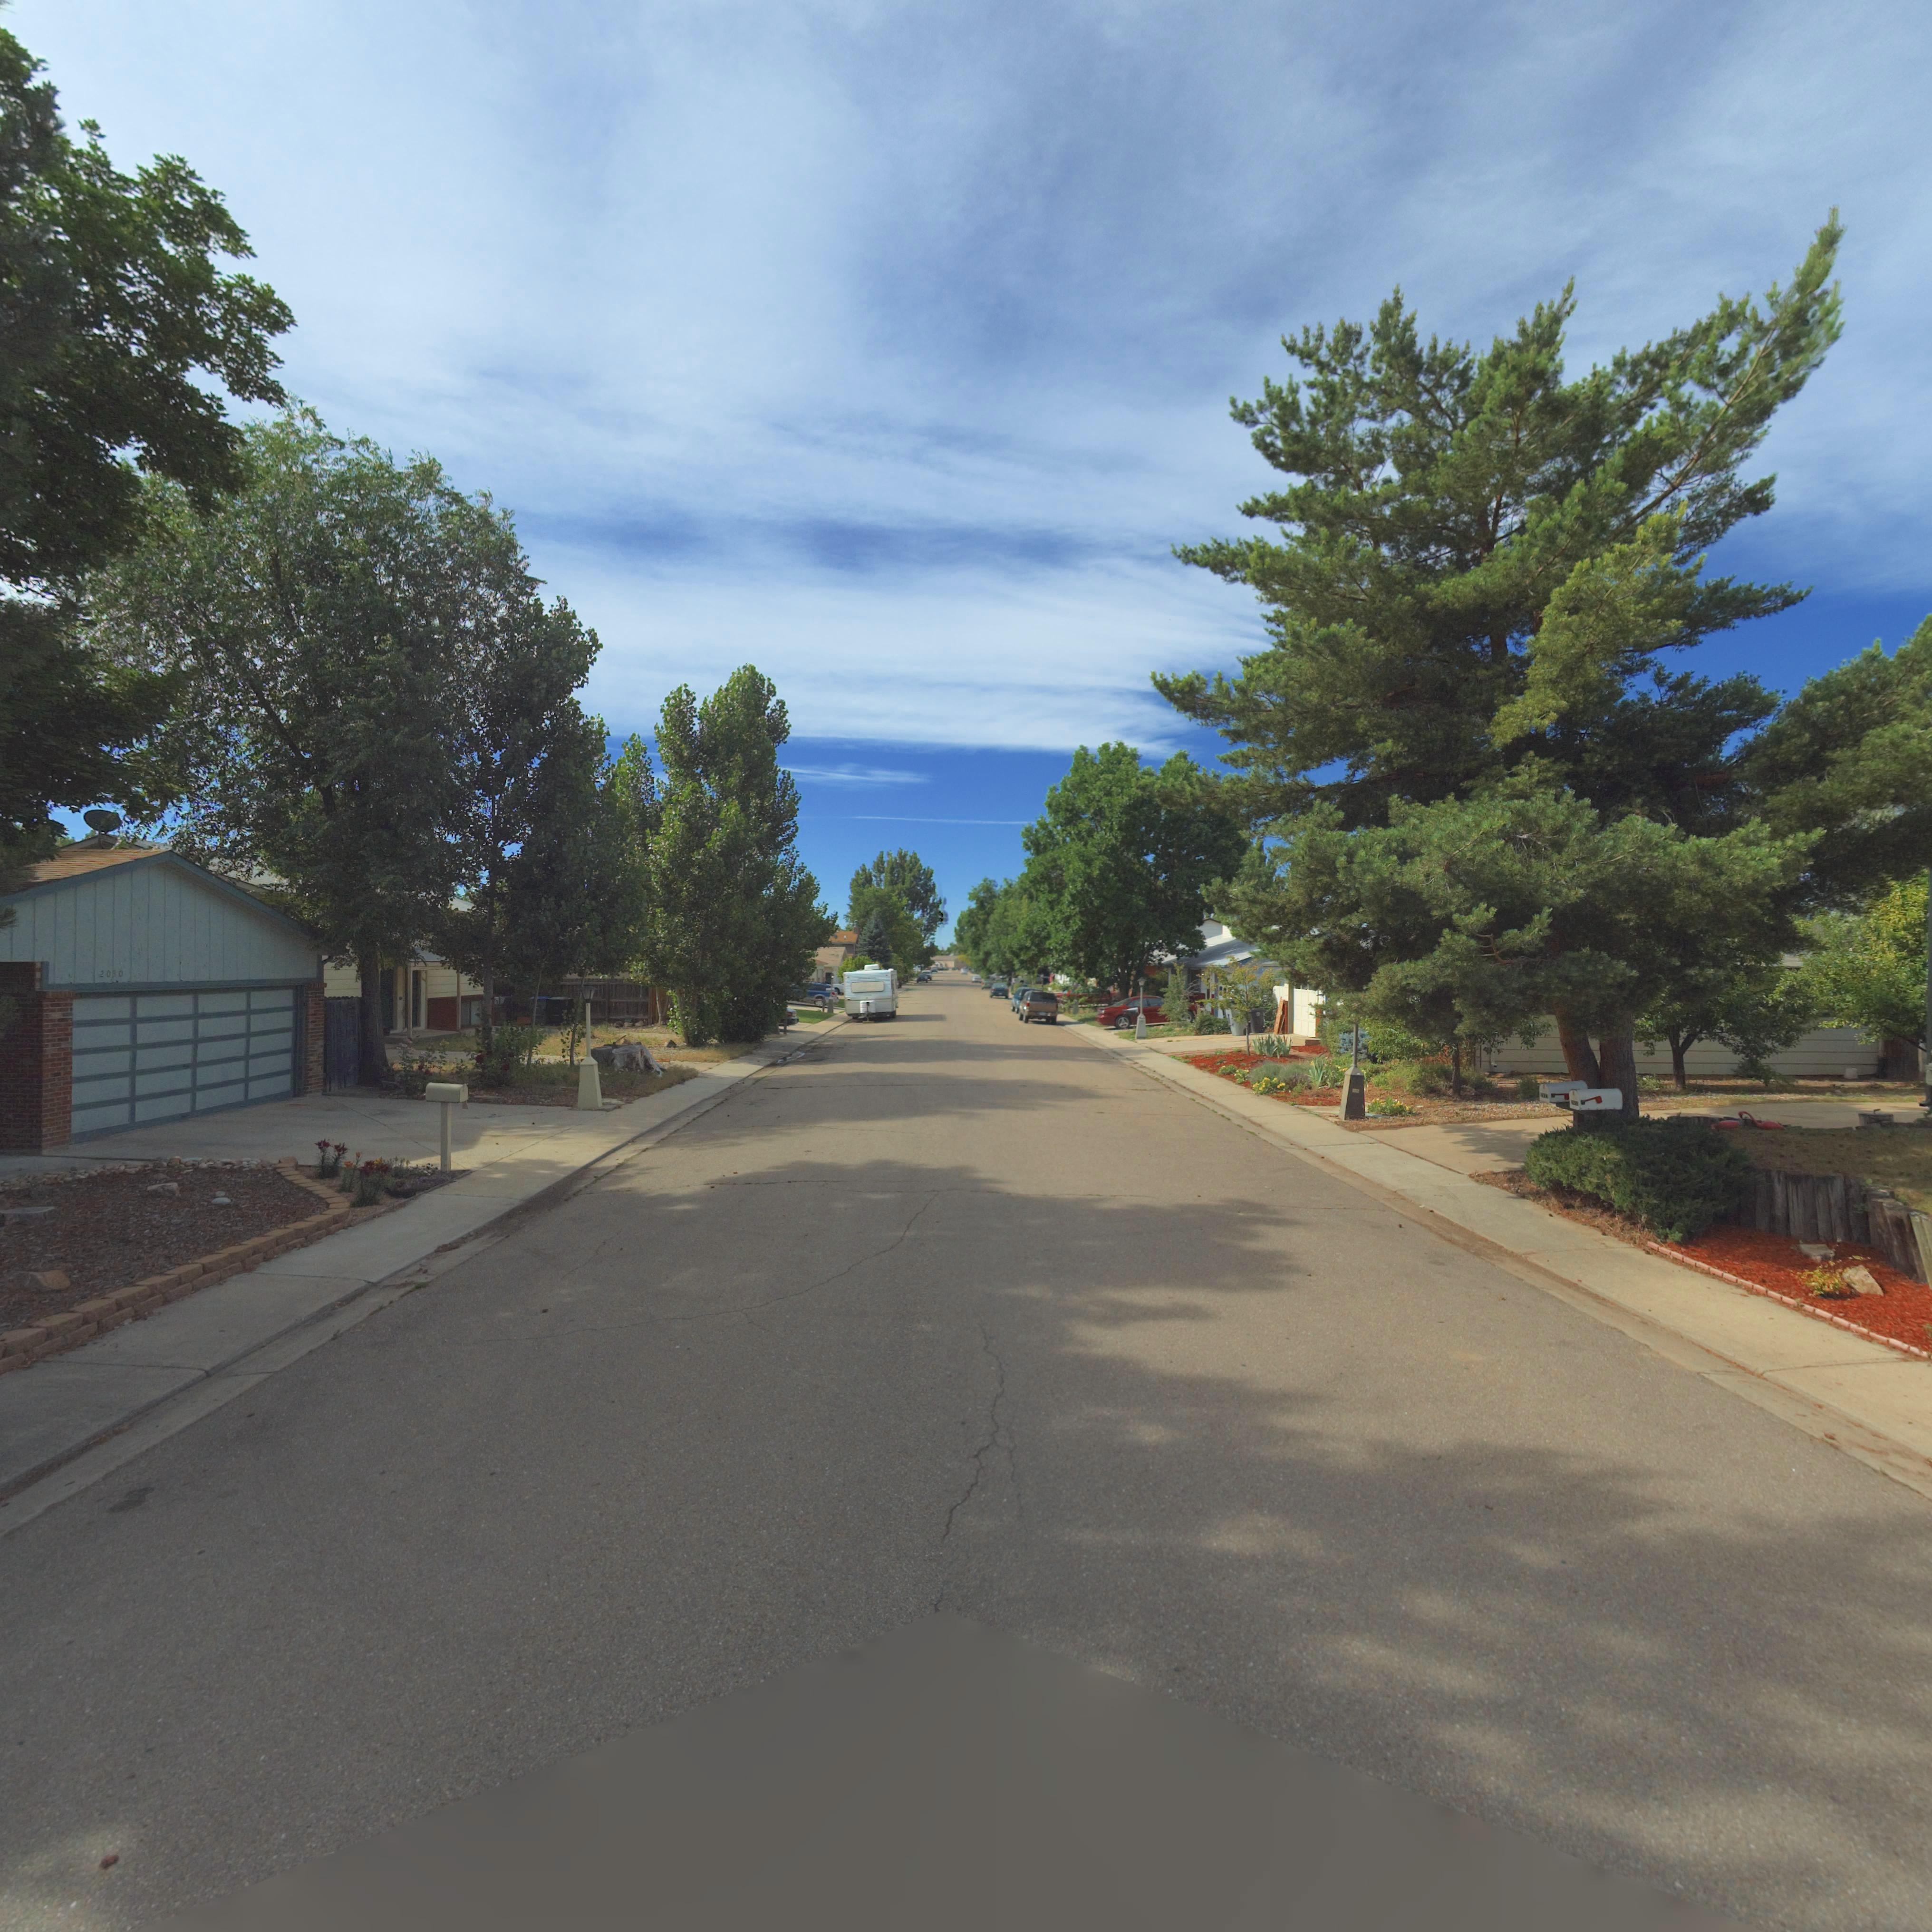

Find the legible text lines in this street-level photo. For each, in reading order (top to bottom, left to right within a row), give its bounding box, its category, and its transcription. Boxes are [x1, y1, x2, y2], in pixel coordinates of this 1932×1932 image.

[98, 969, 123, 977] StreetNumber: 2030